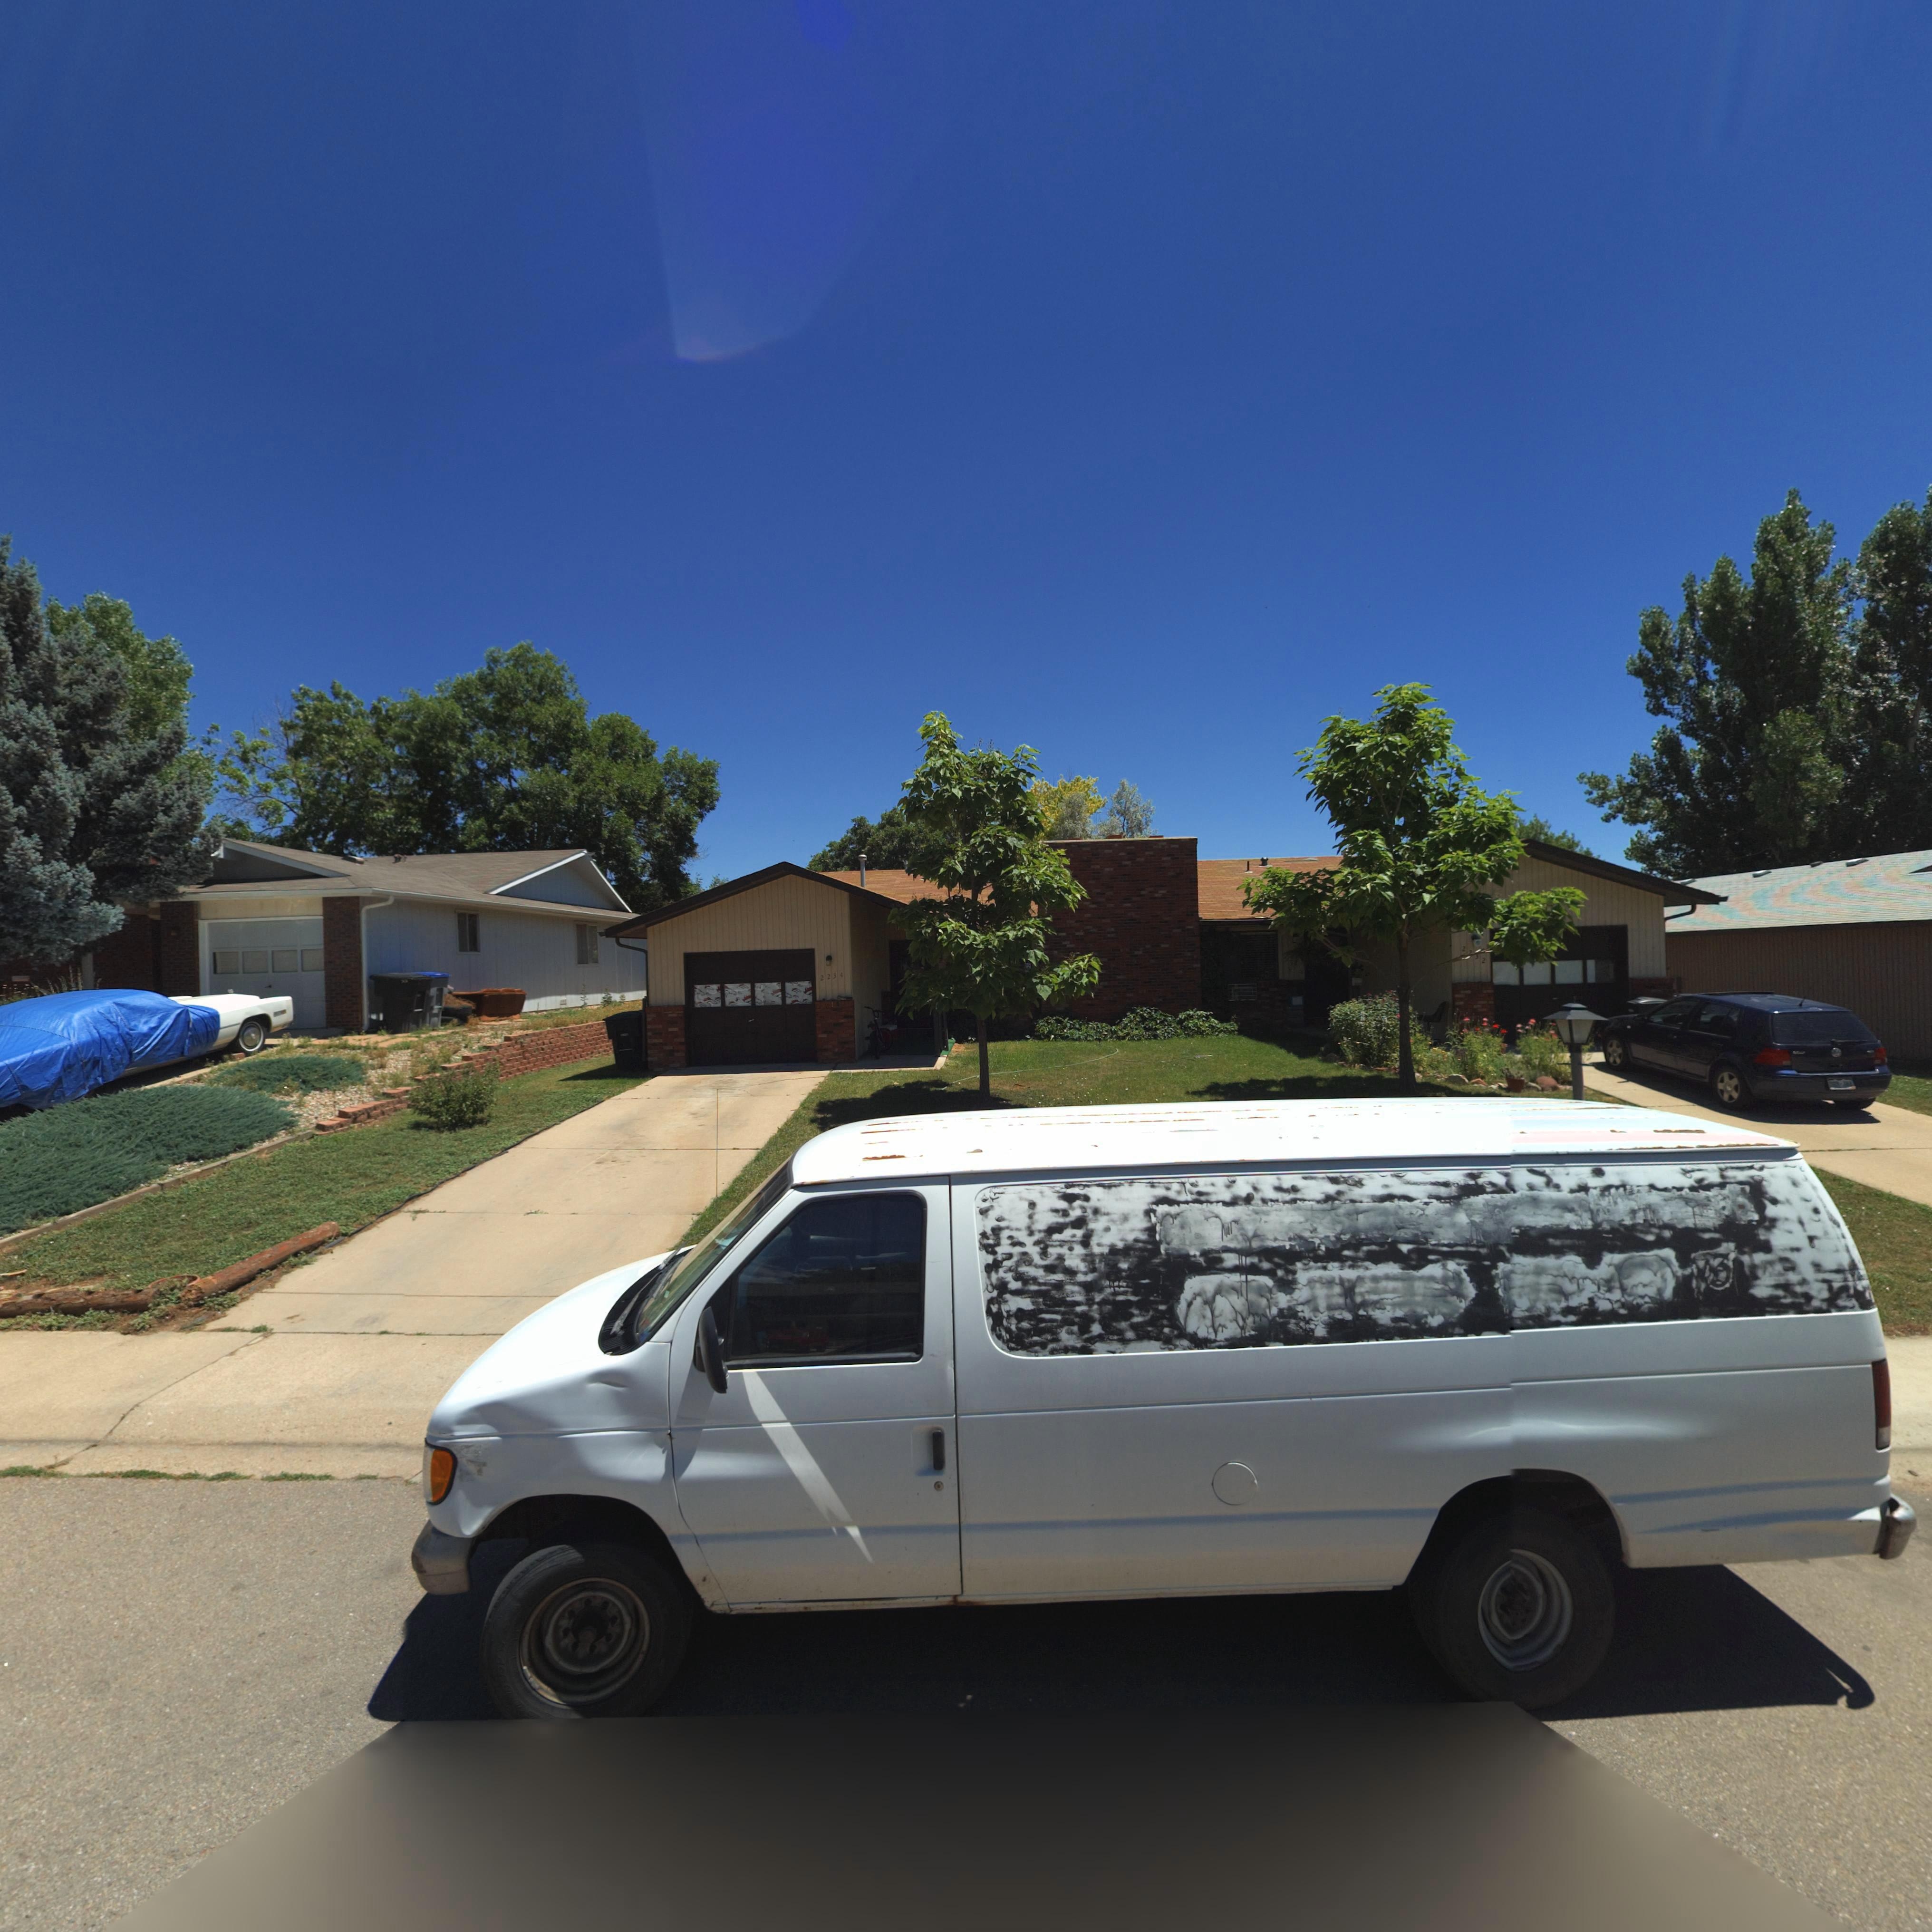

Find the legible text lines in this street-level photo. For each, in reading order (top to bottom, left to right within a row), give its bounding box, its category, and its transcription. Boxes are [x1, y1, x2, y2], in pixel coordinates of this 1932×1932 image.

[1461, 944, 1486, 963] StreetNumber: 2232
[820, 972, 843, 981] StreetNumber: 2234